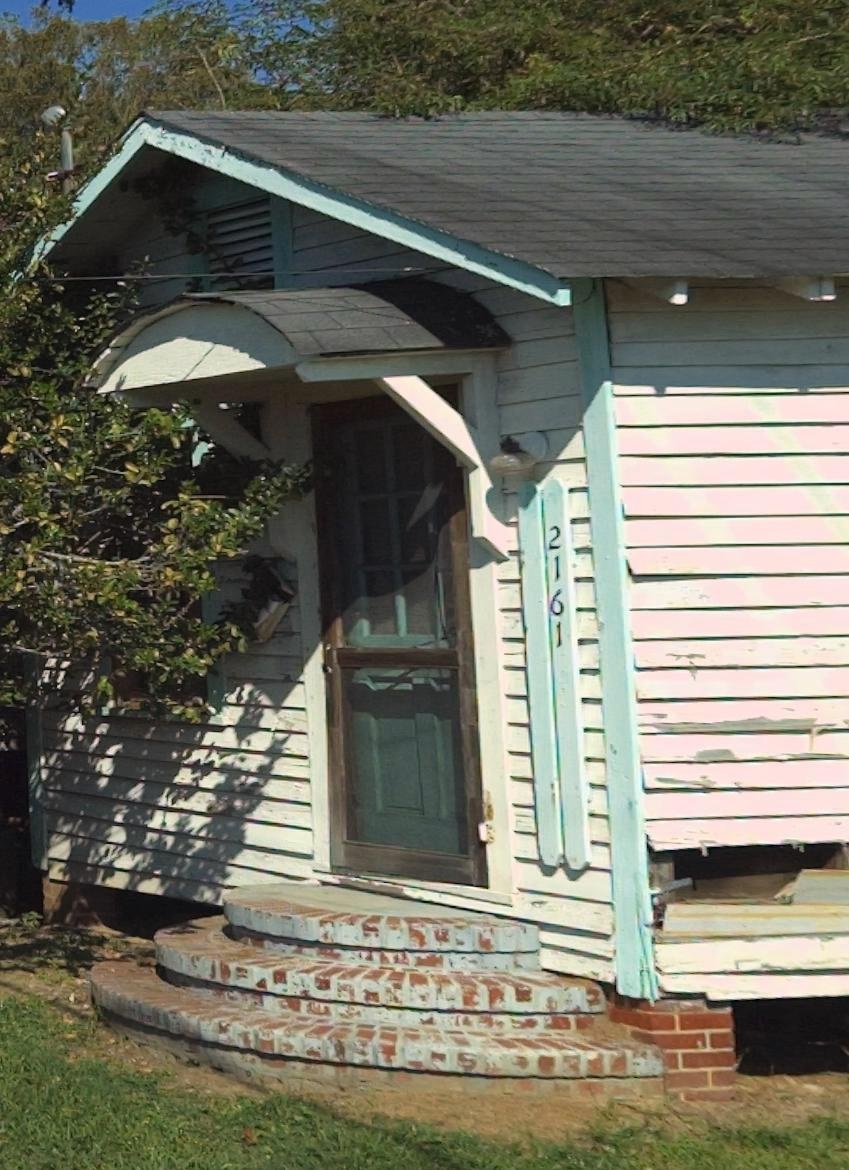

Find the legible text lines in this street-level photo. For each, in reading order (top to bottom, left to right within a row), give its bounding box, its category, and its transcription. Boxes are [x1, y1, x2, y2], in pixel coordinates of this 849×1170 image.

[547, 524, 566, 649] StreetNumber: 2161